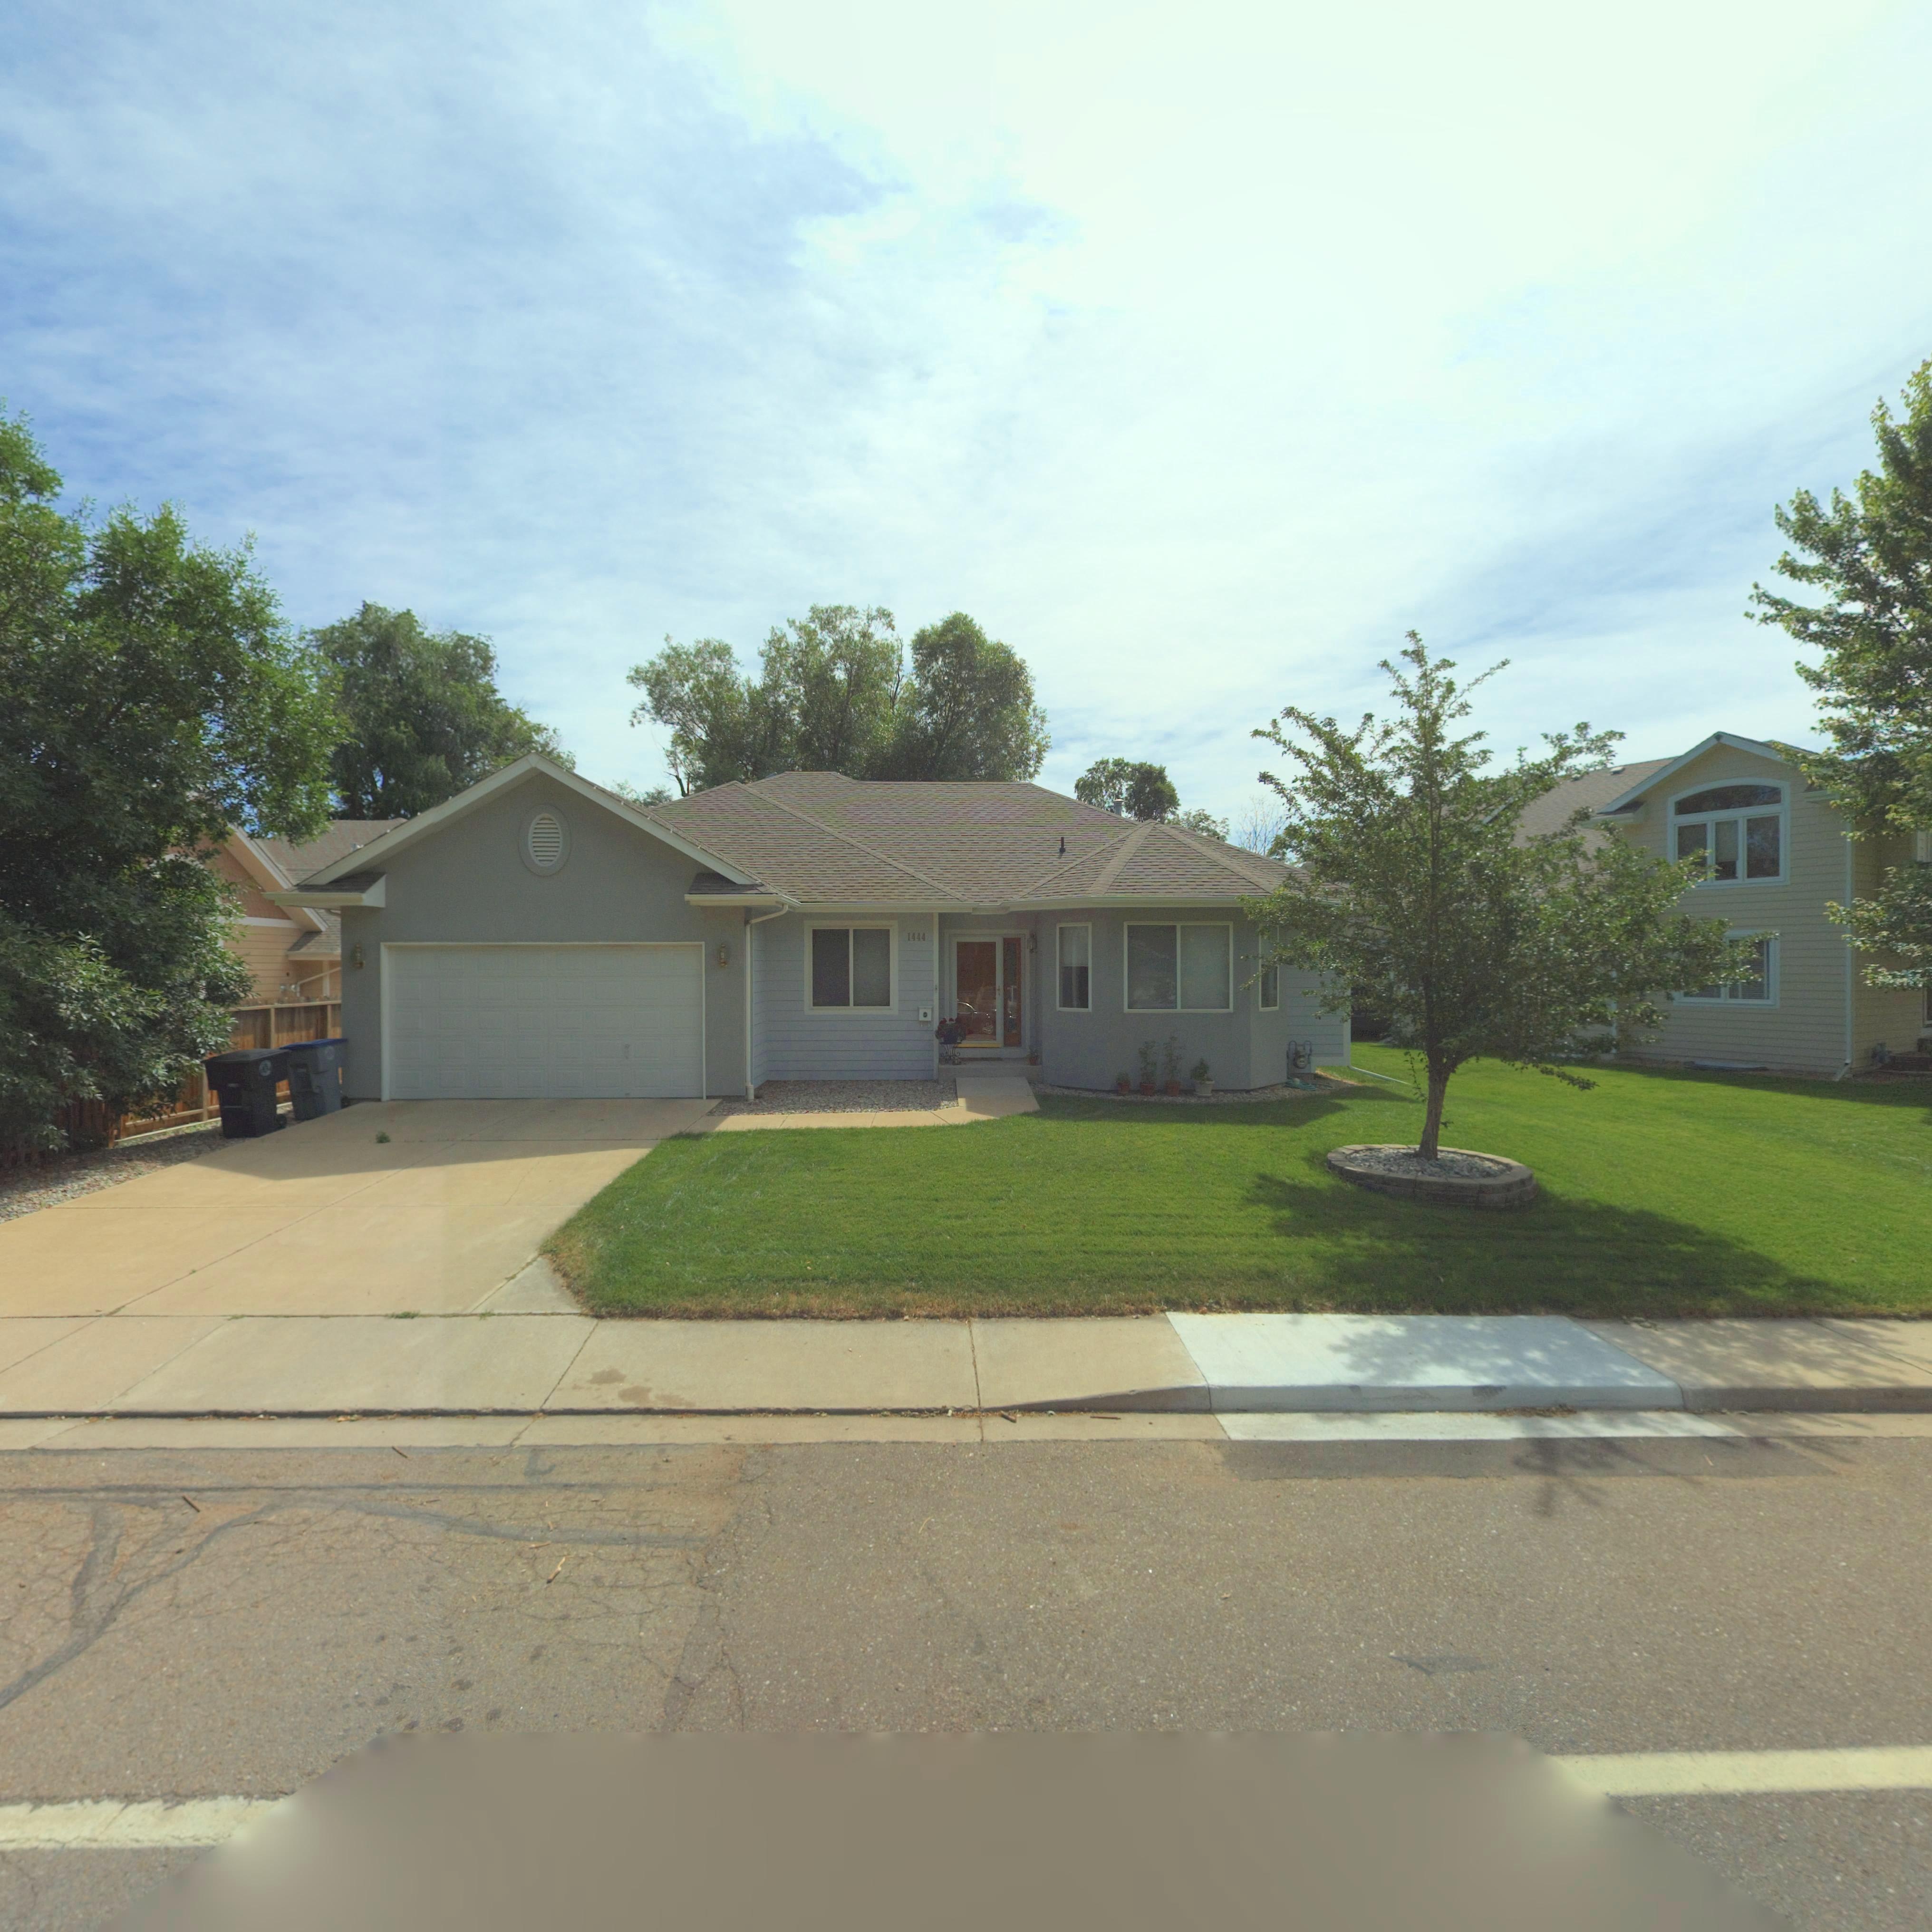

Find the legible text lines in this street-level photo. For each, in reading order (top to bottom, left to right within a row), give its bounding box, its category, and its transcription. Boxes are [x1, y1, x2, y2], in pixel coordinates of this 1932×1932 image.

[908, 932, 926, 941] StreetNumber: 1444